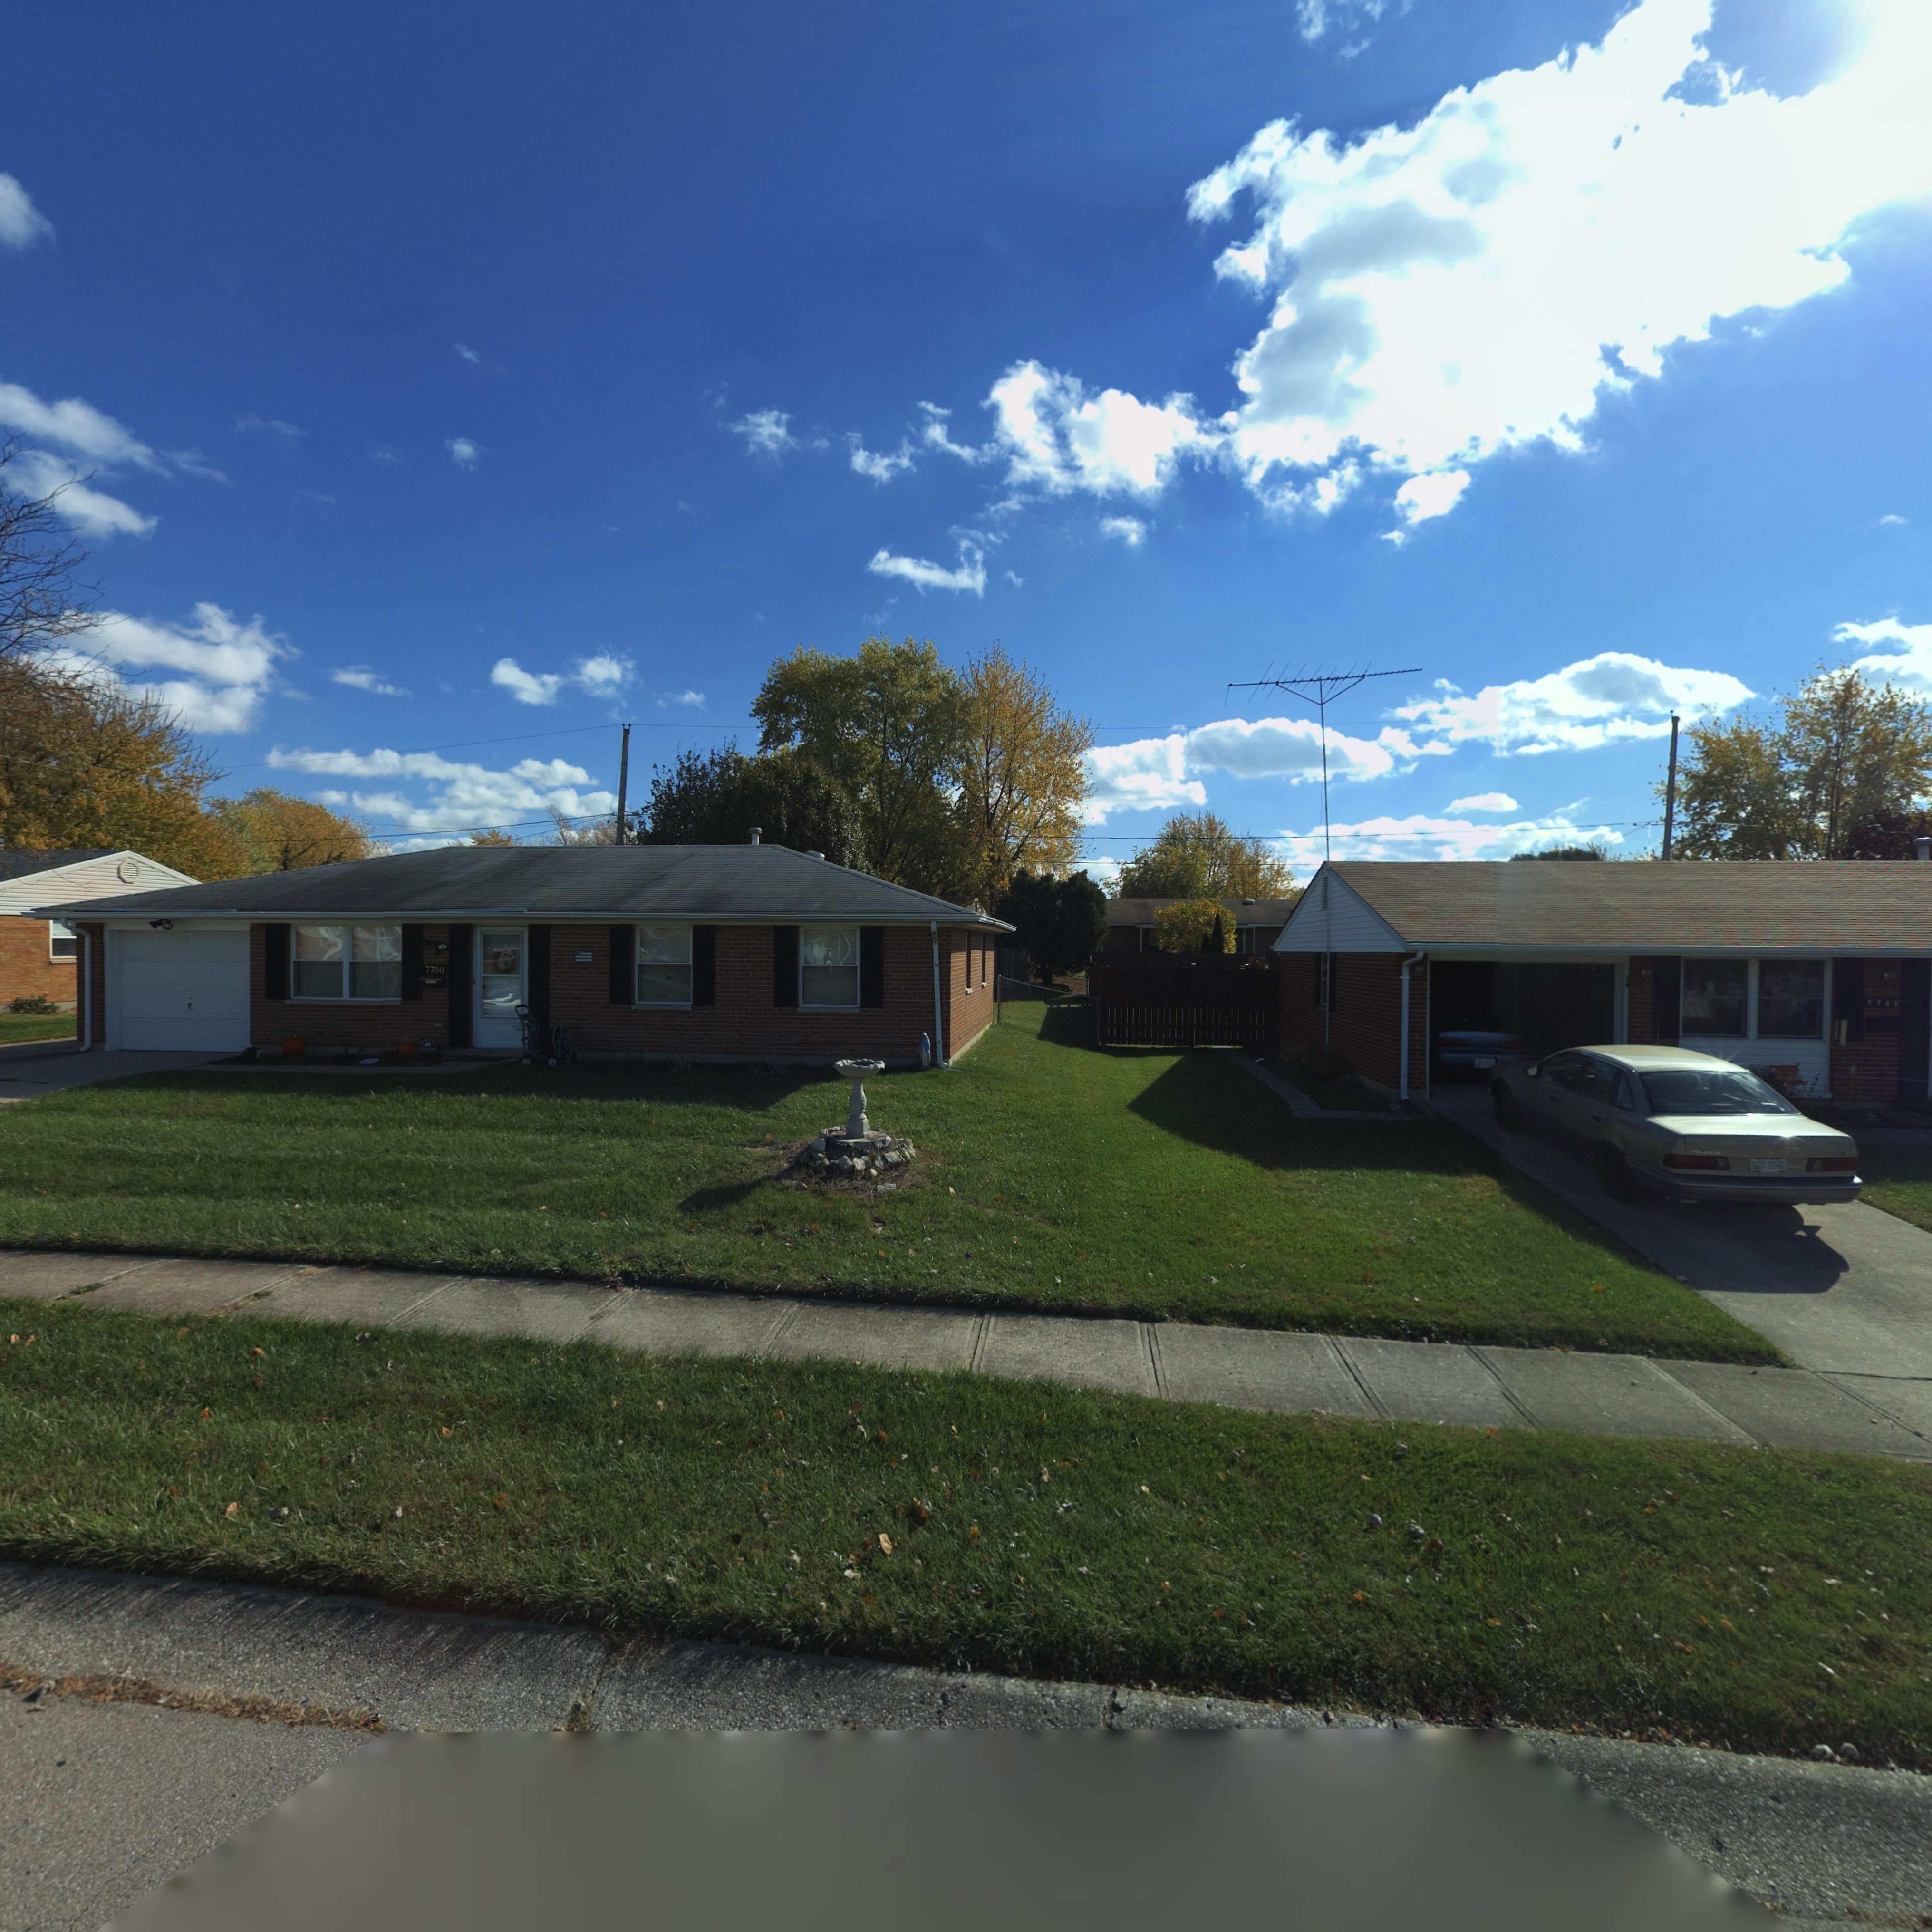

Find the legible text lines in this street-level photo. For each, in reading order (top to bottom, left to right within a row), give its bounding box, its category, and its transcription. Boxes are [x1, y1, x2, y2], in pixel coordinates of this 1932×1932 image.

[424, 966, 445, 974] StreetNumber: 7750
[1865, 999, 1899, 1008] StreetNumber: 7740